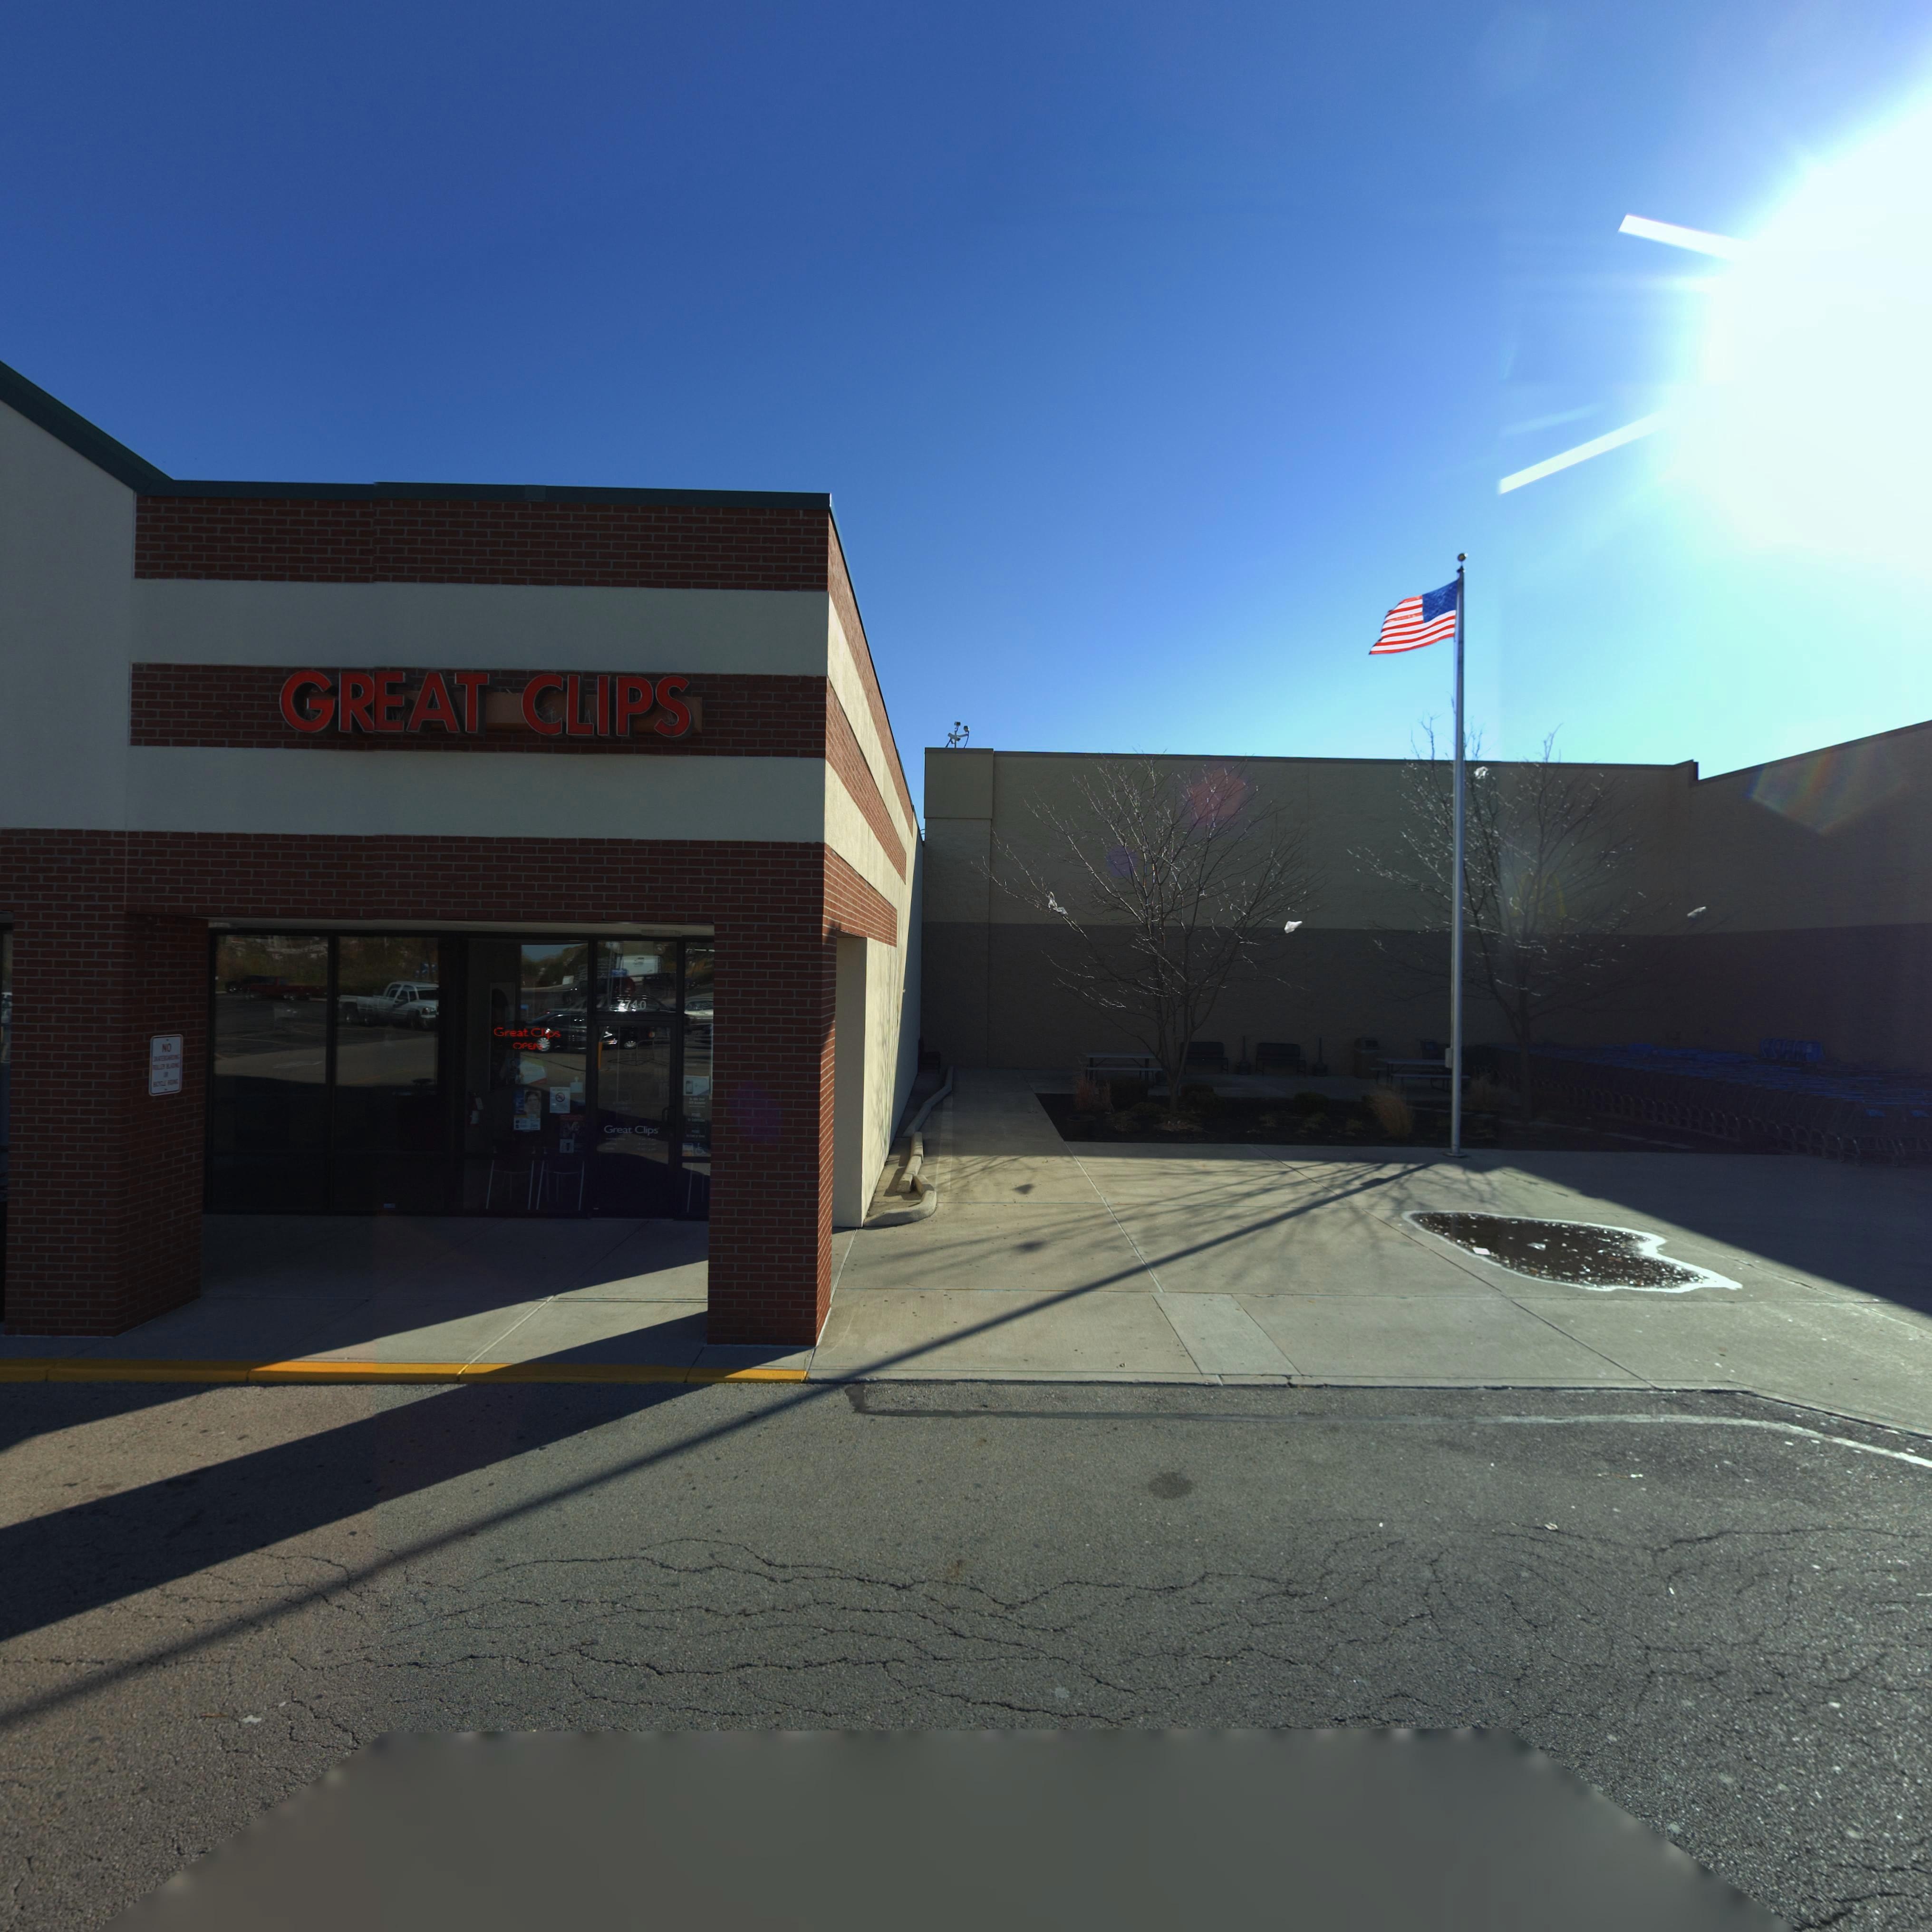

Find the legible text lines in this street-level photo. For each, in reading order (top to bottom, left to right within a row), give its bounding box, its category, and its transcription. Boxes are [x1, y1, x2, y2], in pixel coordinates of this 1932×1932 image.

[617, 999, 647, 1010] StreetNumber: 7740